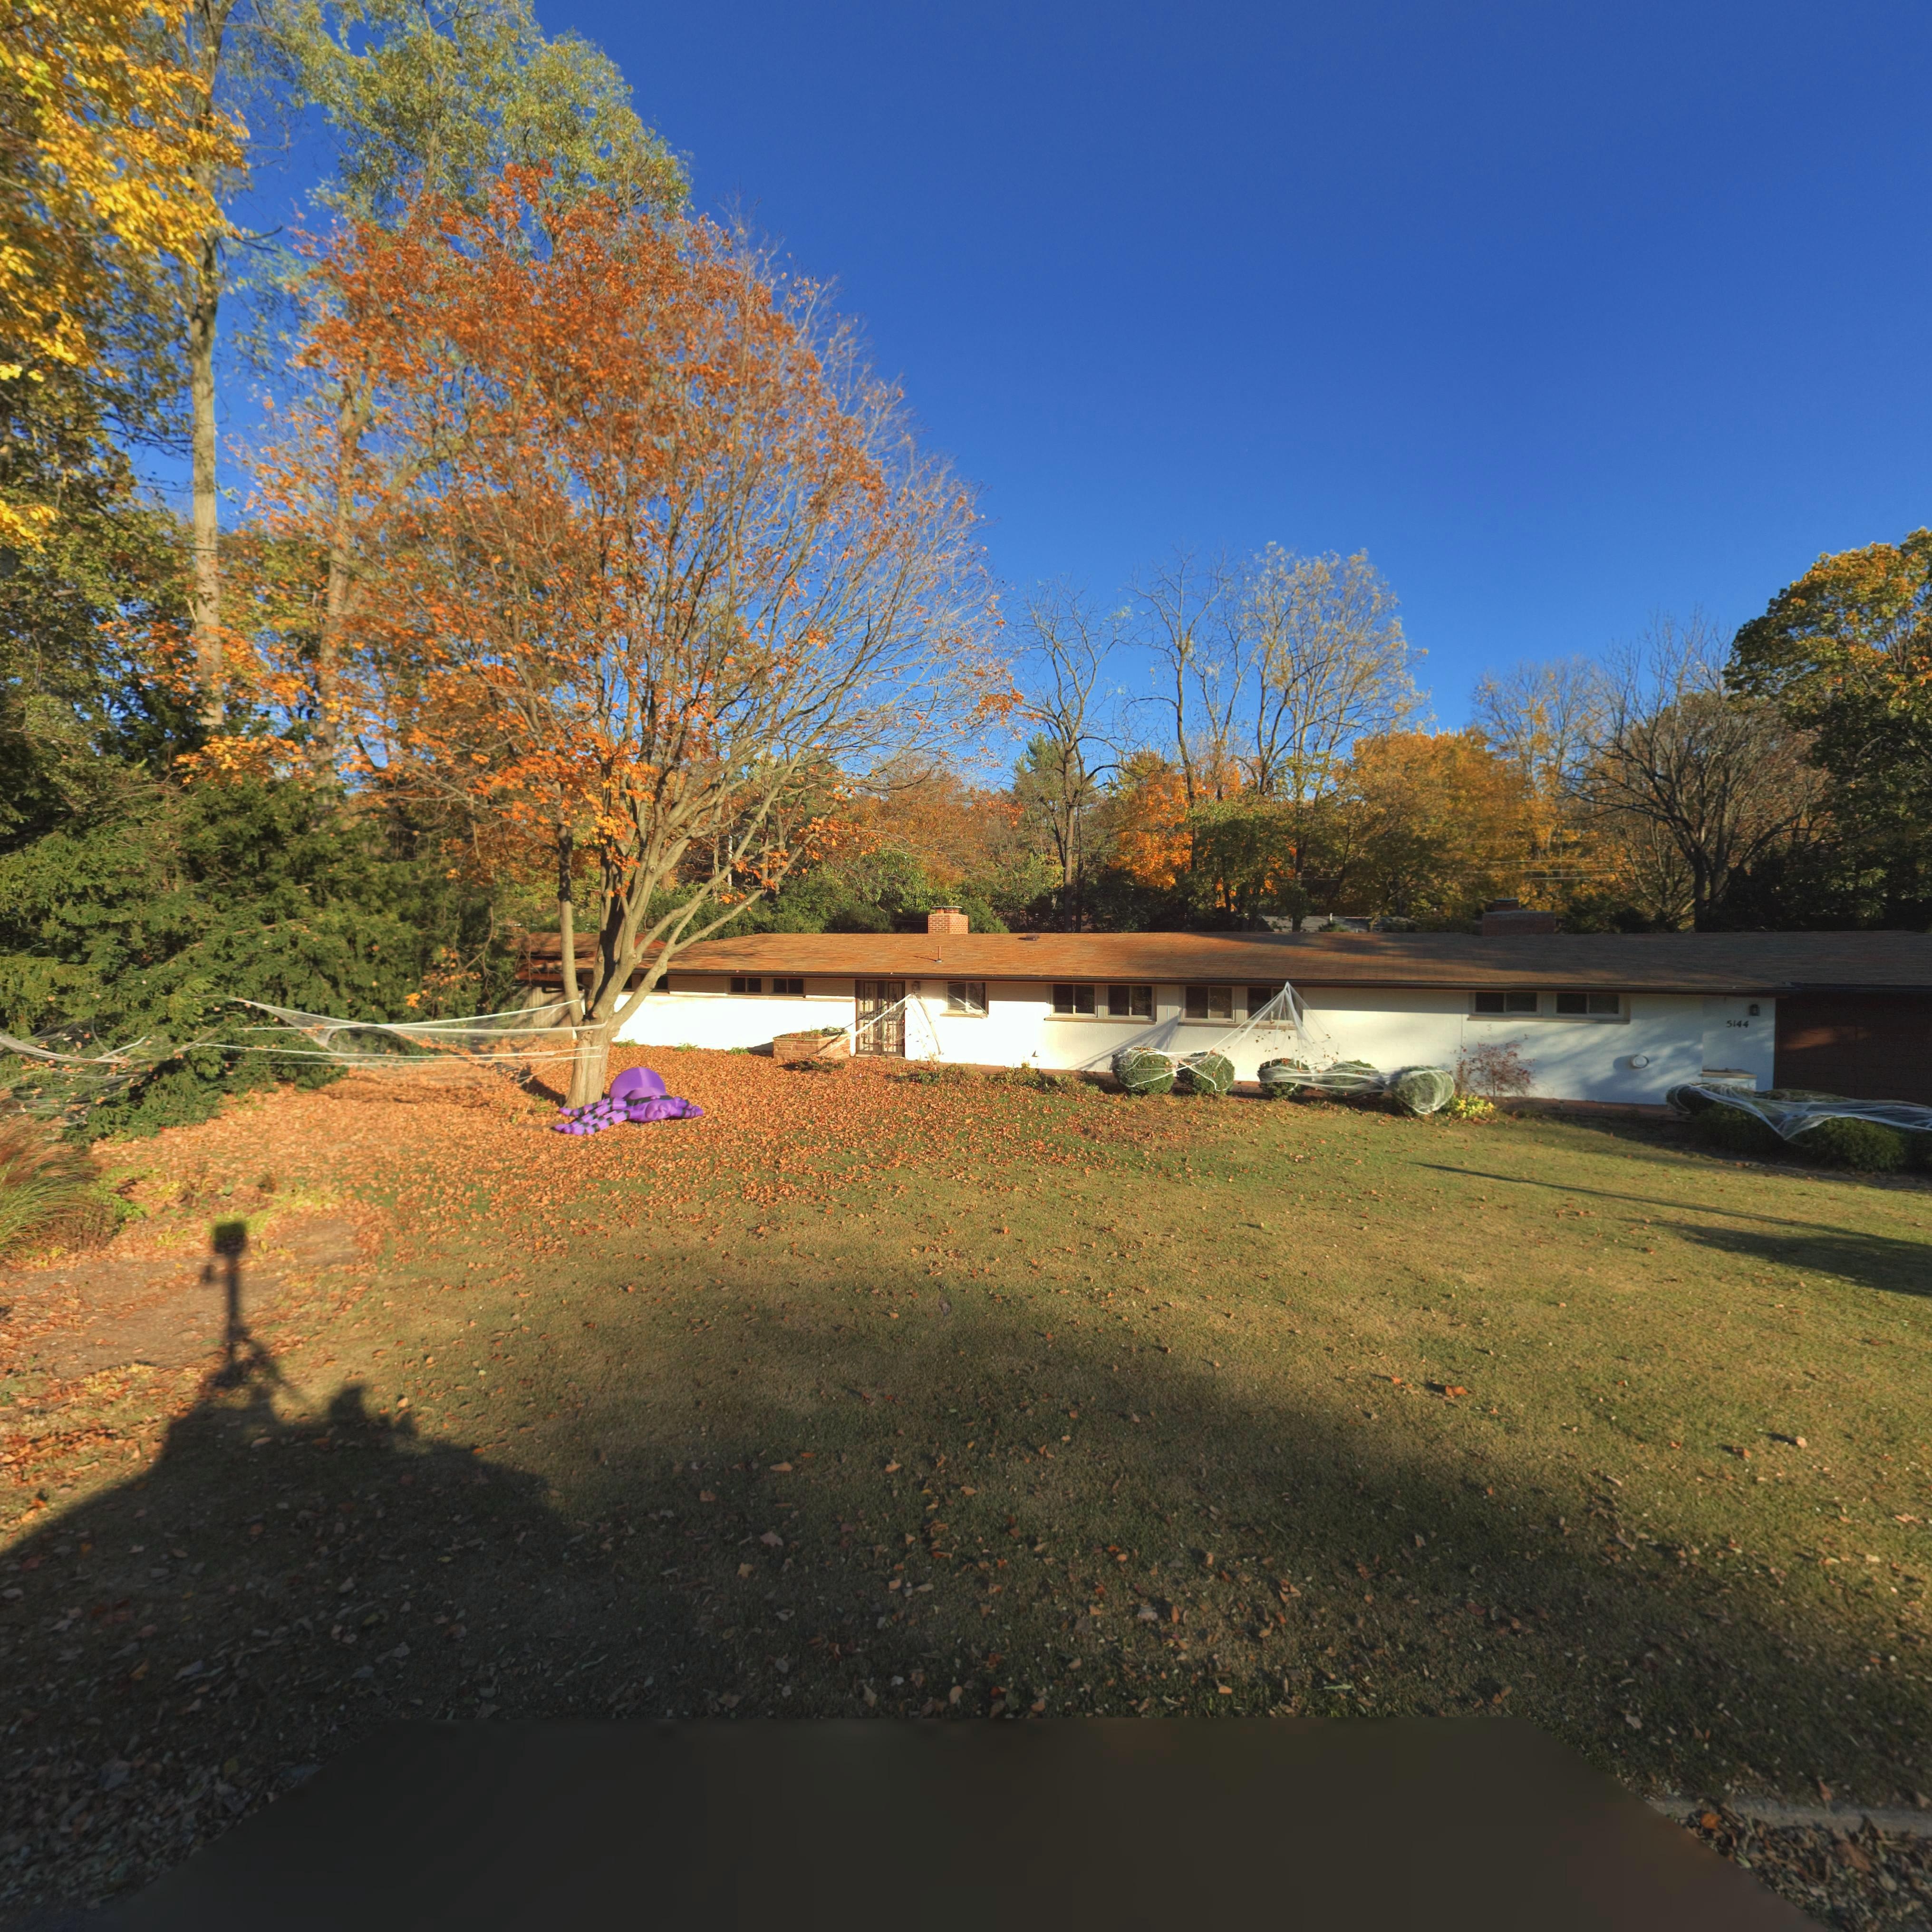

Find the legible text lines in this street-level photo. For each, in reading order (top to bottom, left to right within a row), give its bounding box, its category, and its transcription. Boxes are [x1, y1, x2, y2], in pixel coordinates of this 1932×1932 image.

[1726, 1019, 1750, 1029] StreetNumber: 5144